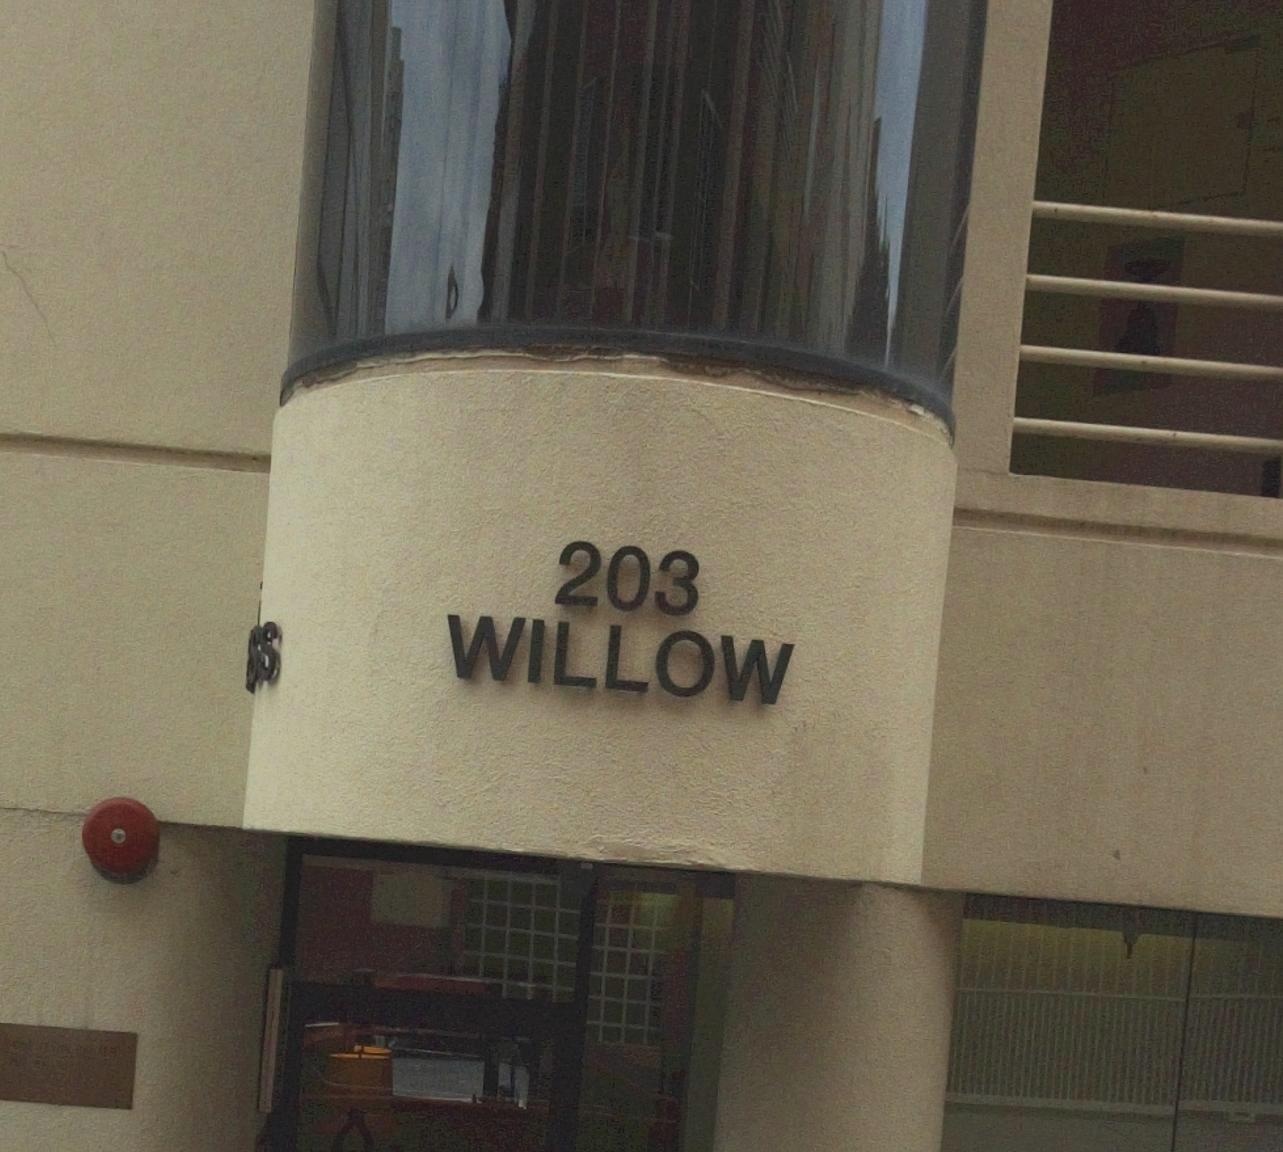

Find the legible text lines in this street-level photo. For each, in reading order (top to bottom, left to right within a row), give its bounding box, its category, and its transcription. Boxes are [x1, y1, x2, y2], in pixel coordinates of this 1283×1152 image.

[551, 536, 701, 619] StreetNumber: 203
[443, 611, 799, 708] StreetName: WILLOW